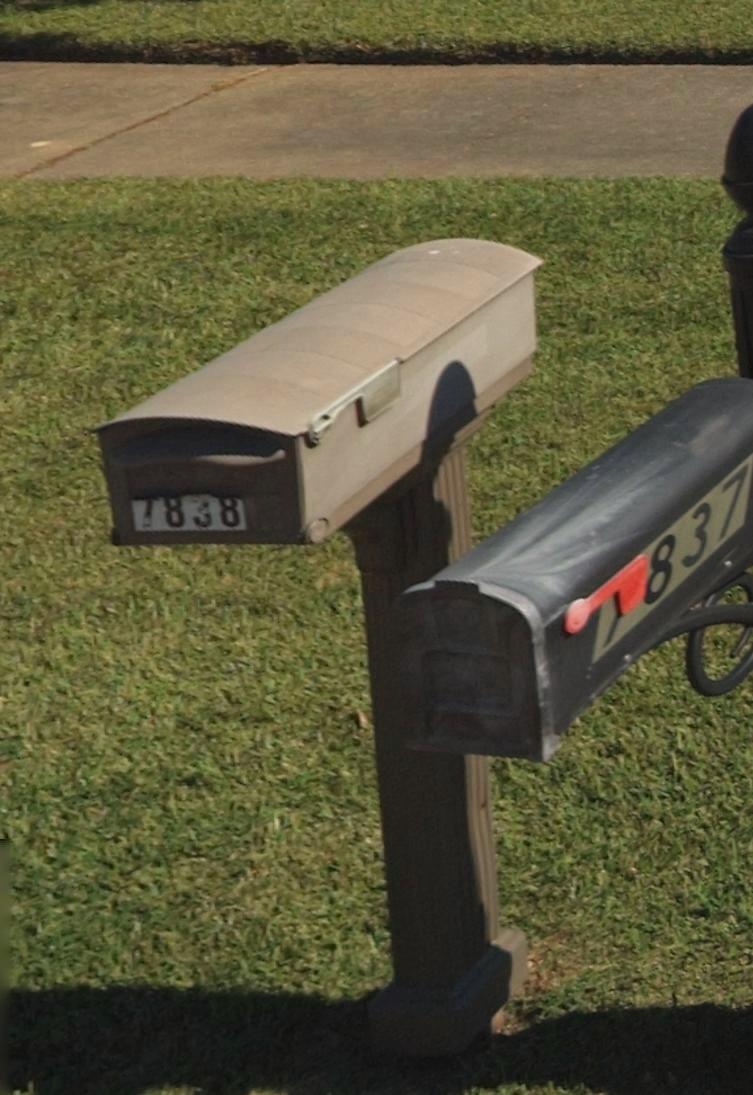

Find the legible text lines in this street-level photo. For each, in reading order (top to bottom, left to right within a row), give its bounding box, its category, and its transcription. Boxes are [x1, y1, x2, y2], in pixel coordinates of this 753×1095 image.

[133, 495, 241, 528] StreetNumber: 7838
[642, 457, 753, 616] StreetNumber: 837